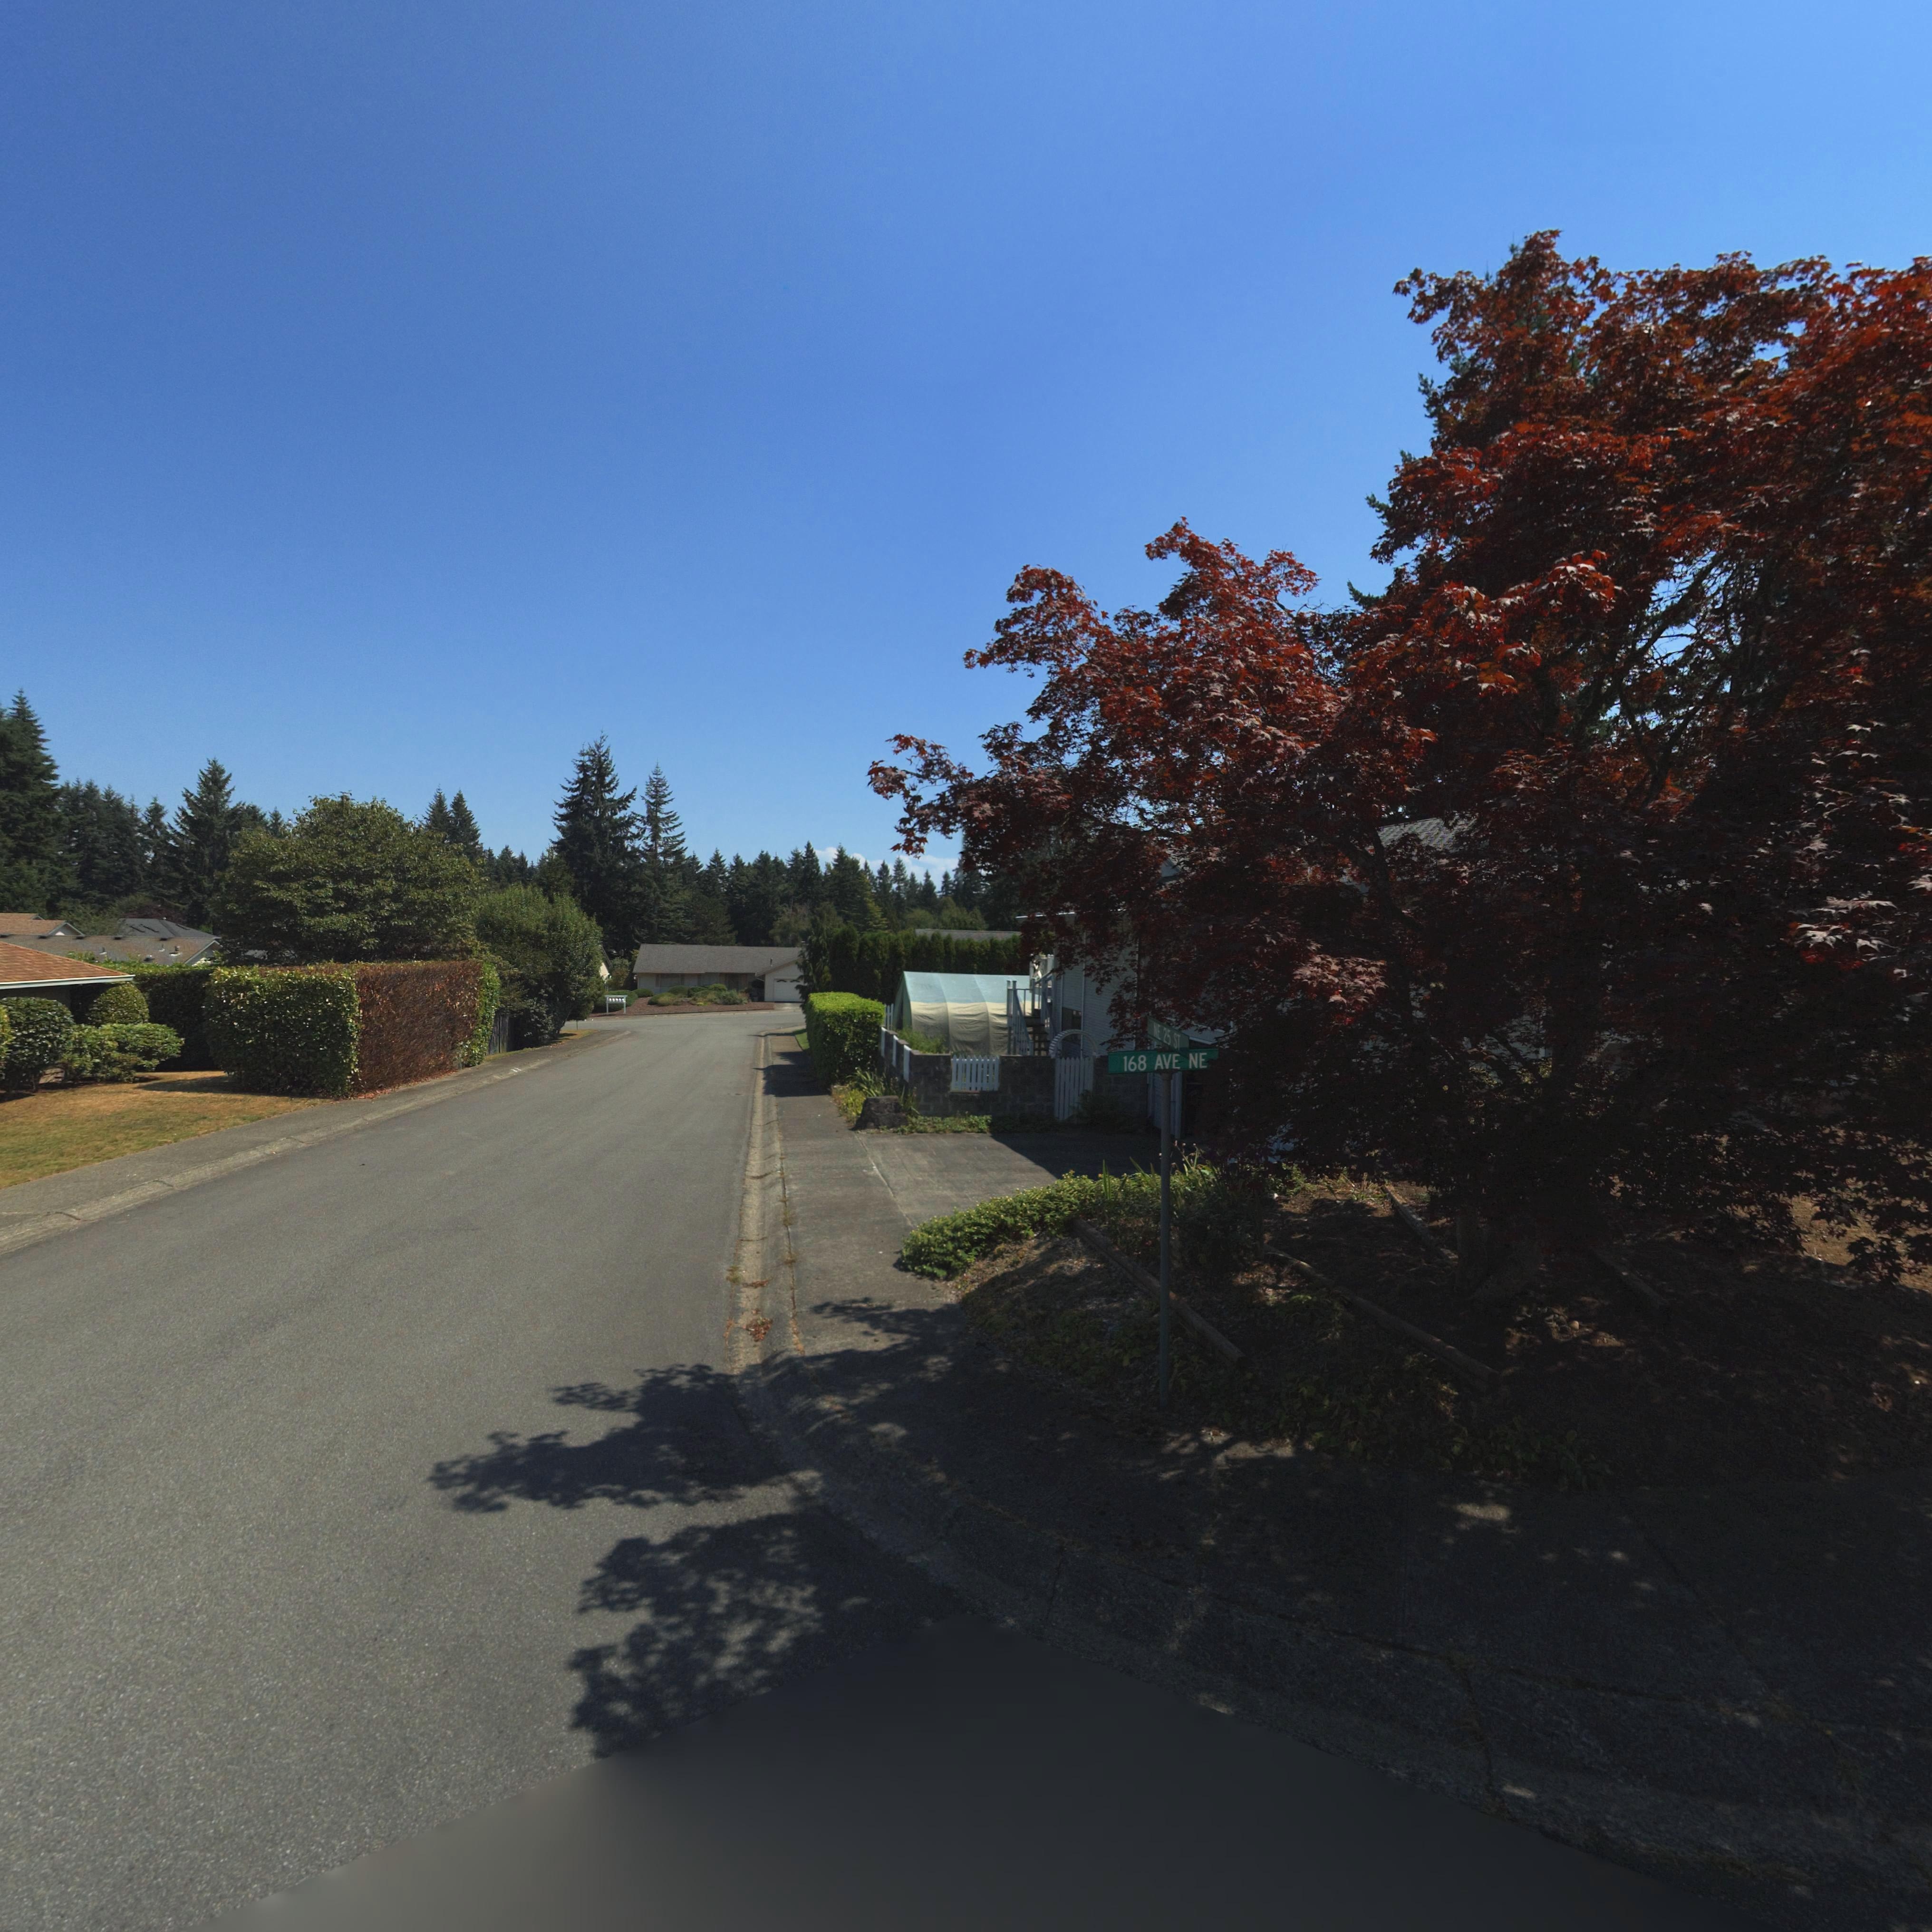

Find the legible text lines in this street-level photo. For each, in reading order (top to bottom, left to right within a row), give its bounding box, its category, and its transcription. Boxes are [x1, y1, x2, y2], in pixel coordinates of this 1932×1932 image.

[1153, 1022, 1181, 1052] StreetName: NE 25 ST
[1123, 1052, 1207, 1072] StreetName: 168 AVE NE